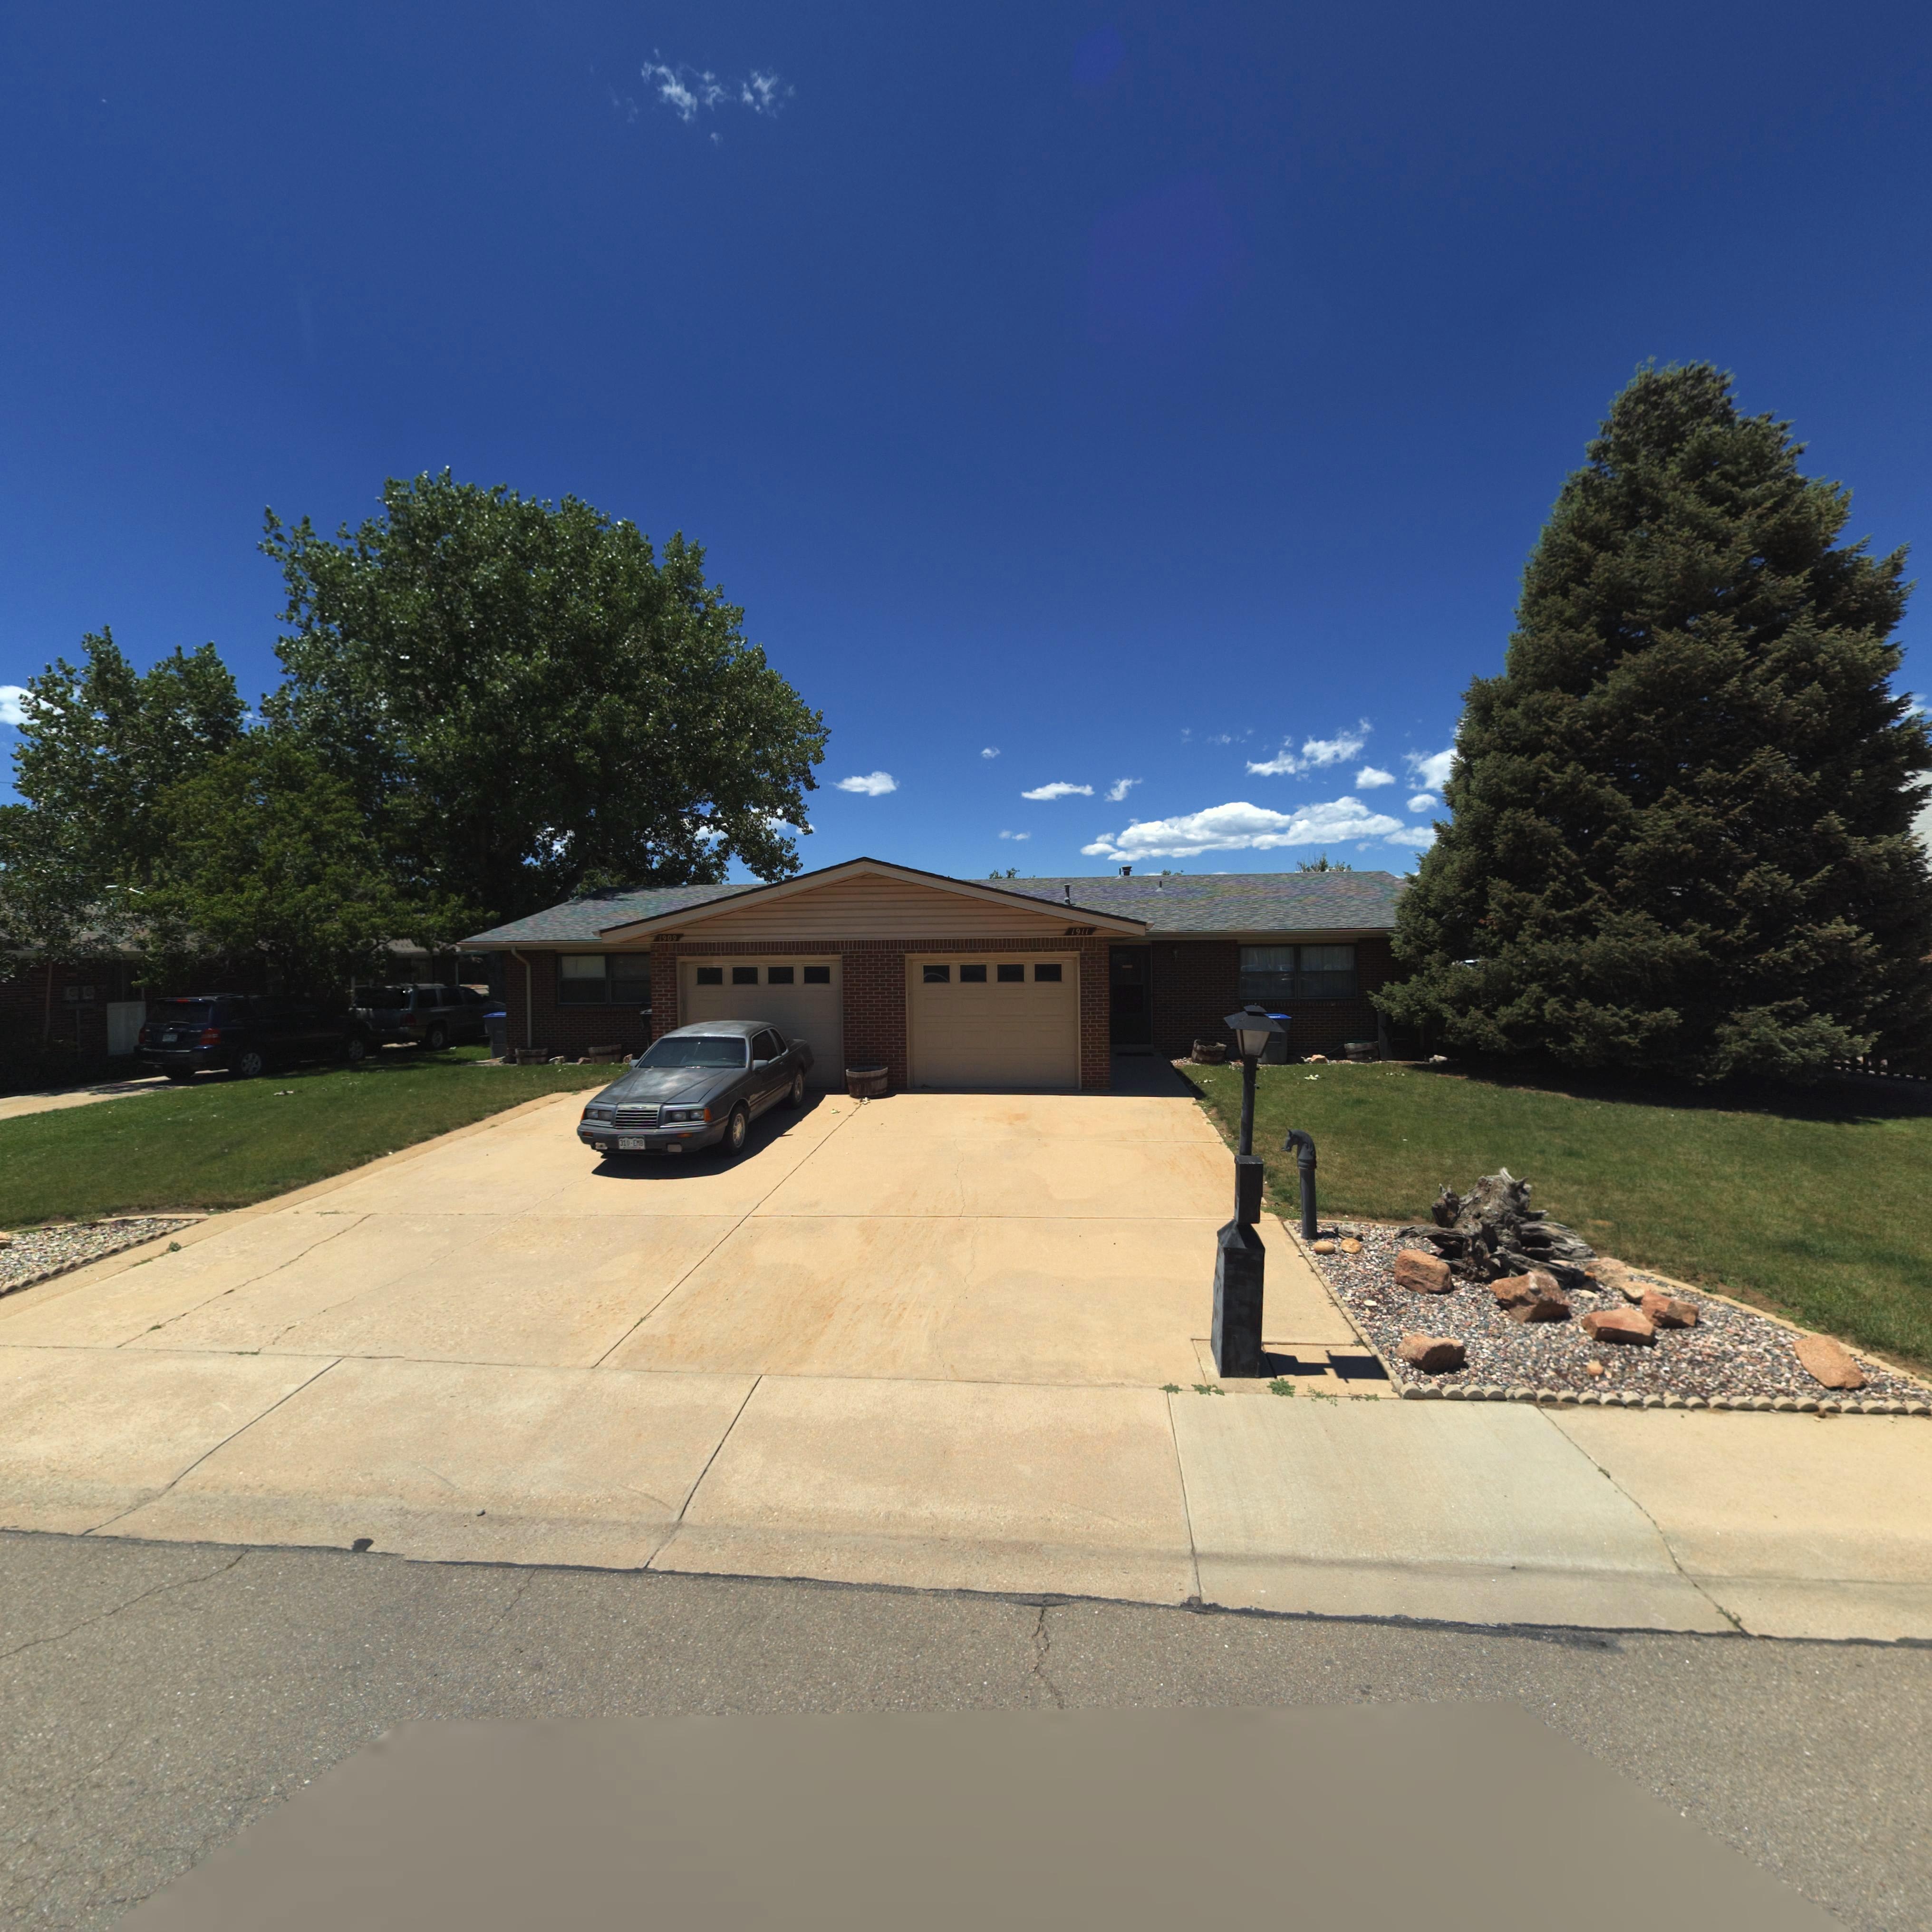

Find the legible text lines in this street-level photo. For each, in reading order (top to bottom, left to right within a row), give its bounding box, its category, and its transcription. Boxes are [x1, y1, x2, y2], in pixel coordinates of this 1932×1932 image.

[1071, 927, 1089, 935] StreetNumber: 1911
[659, 935, 676, 941] StreetNumber: 1909